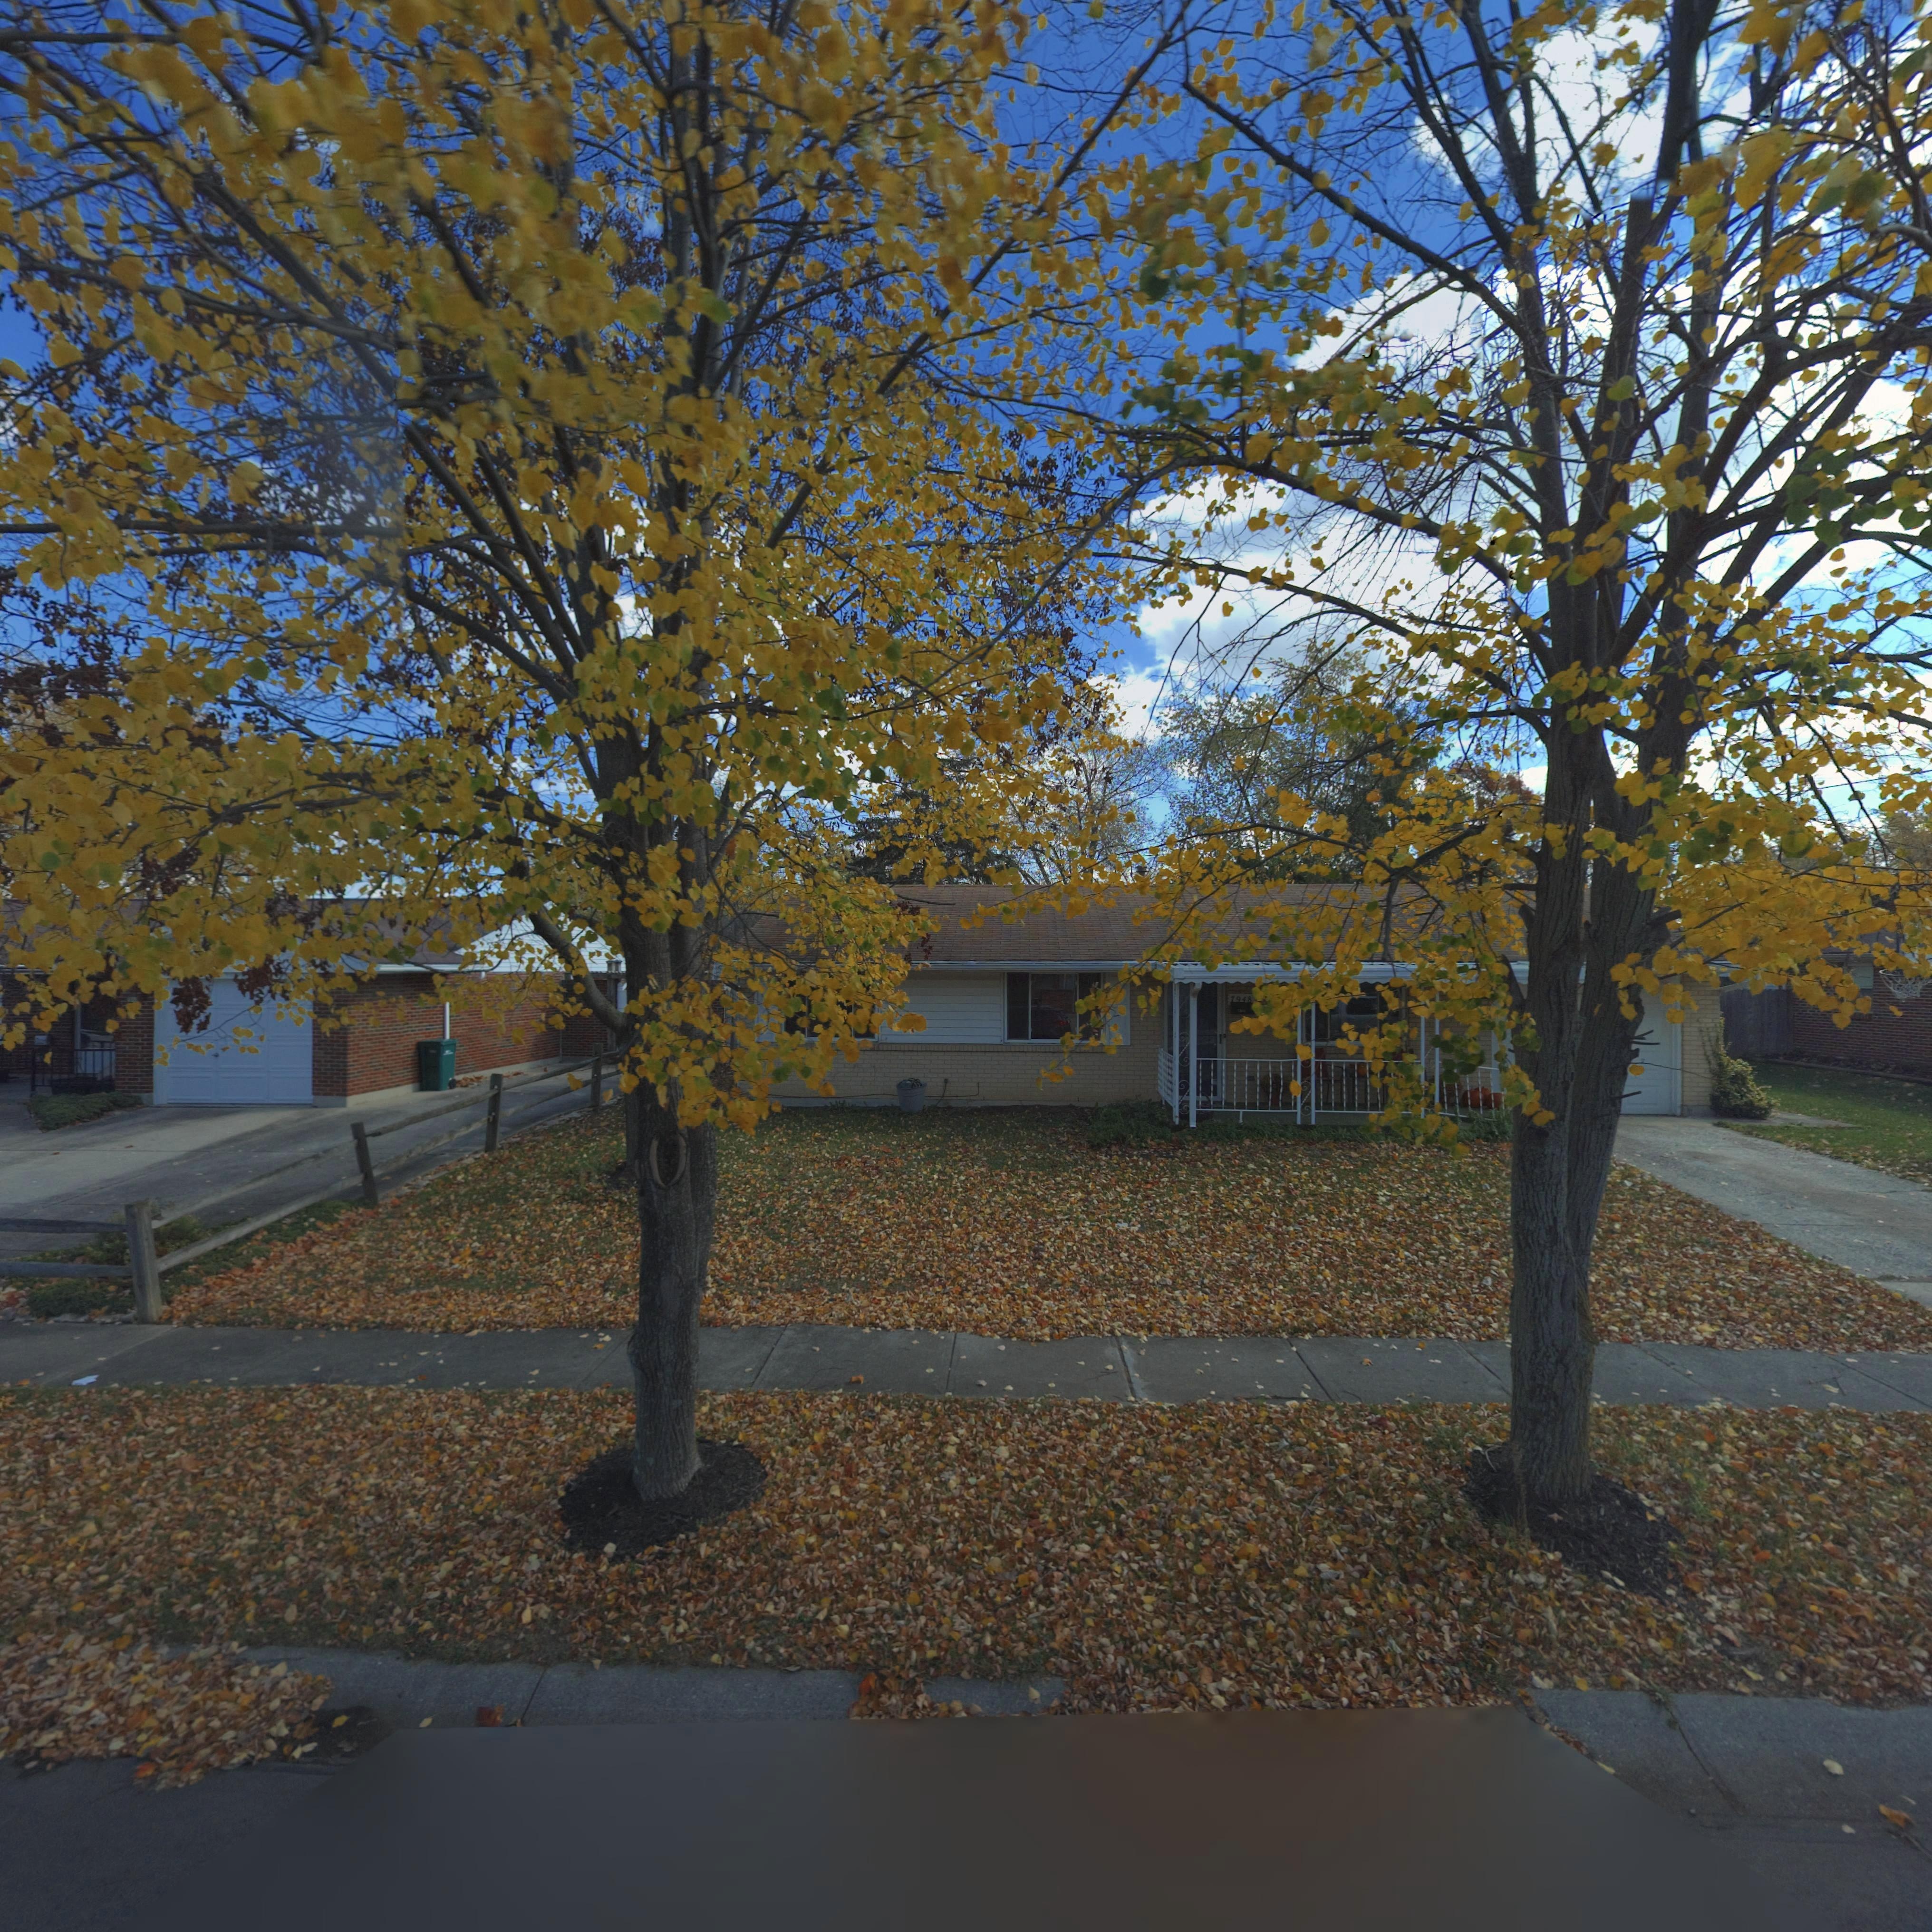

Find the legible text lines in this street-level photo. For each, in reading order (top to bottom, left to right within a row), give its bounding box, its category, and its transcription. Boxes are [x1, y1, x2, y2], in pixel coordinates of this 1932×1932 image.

[1230, 995, 1252, 1003] StreetNumber: 7948
[1237, 1008, 1246, 1013] StreetNumber: 764*